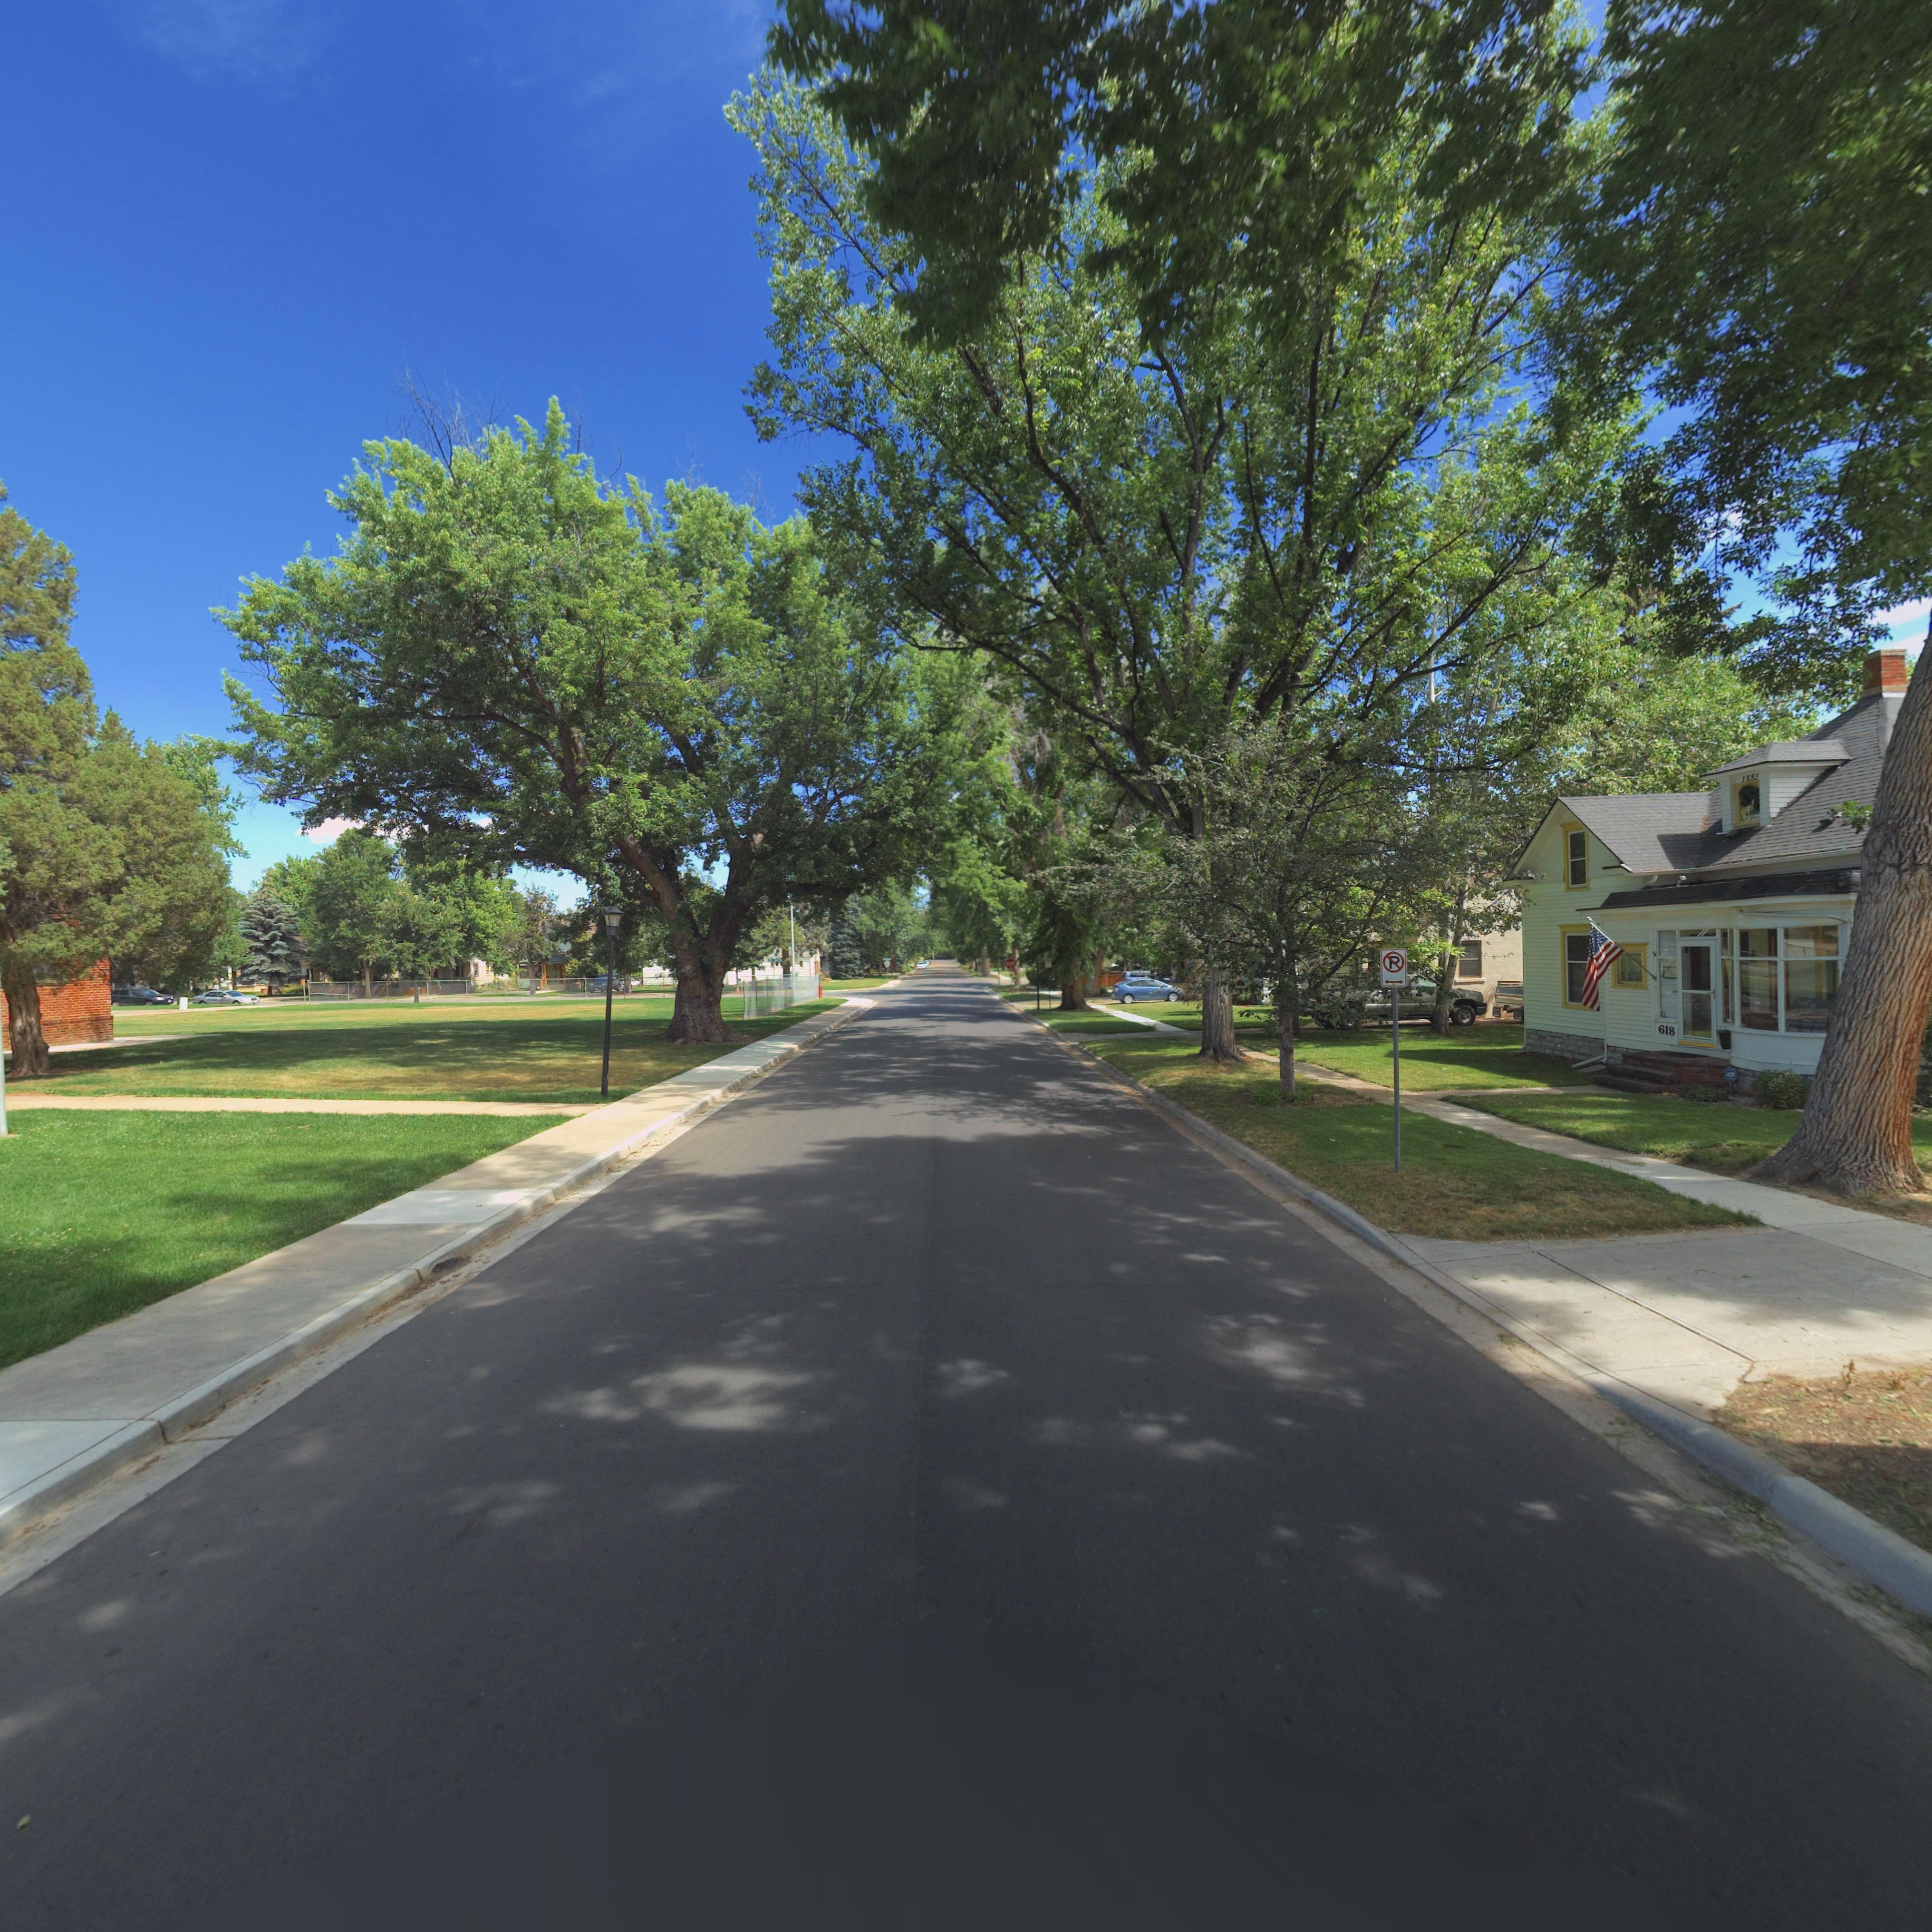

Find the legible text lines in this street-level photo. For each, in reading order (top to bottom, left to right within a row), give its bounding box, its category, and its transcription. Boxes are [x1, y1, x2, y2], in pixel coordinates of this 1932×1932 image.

[1741, 773, 1759, 782] None: 188*
[1657, 1024, 1676, 1036] StreetNumber: 618